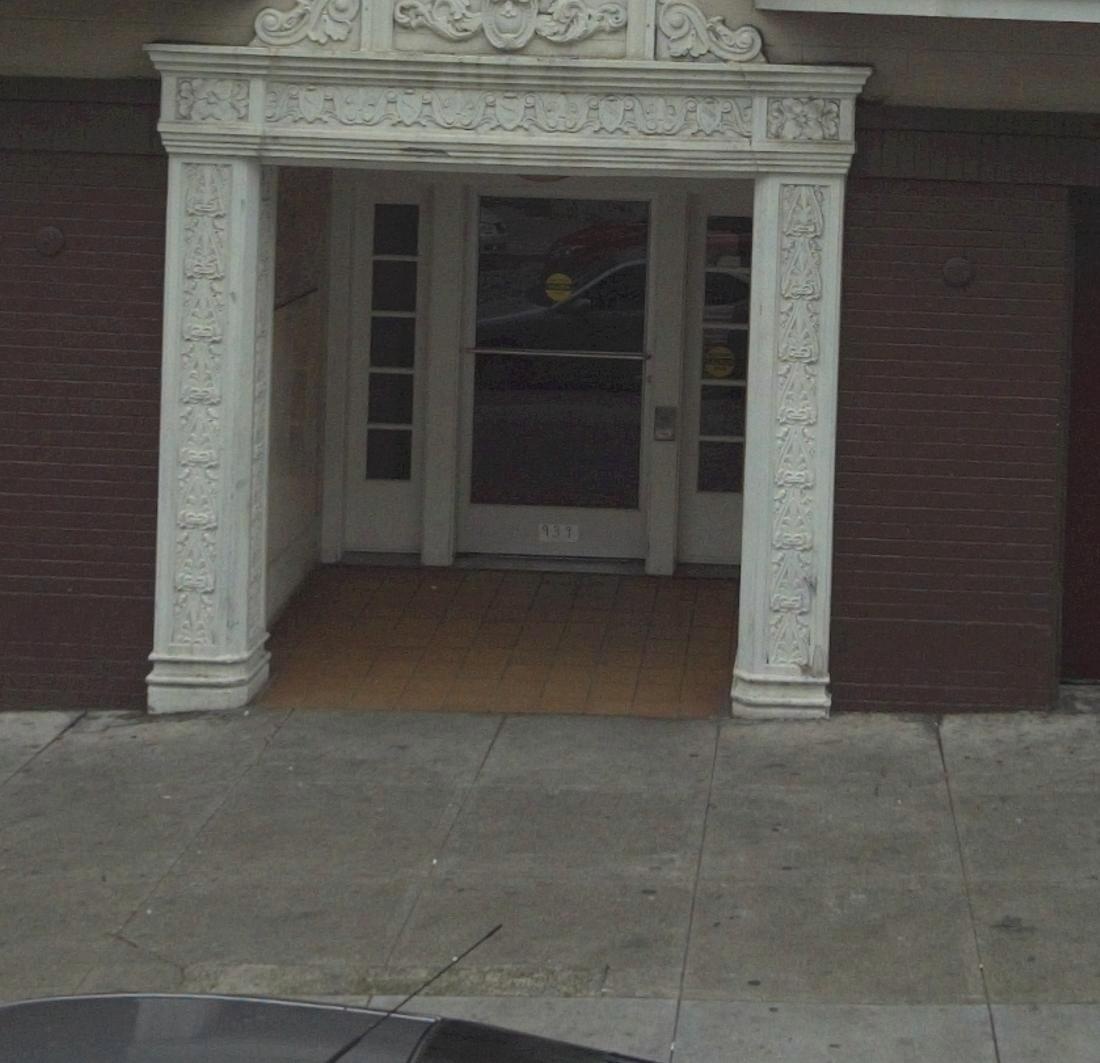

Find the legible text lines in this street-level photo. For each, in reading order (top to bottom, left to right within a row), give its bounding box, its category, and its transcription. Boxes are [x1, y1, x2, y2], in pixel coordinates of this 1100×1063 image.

[541, 523, 572, 539] StreetNumber: 939